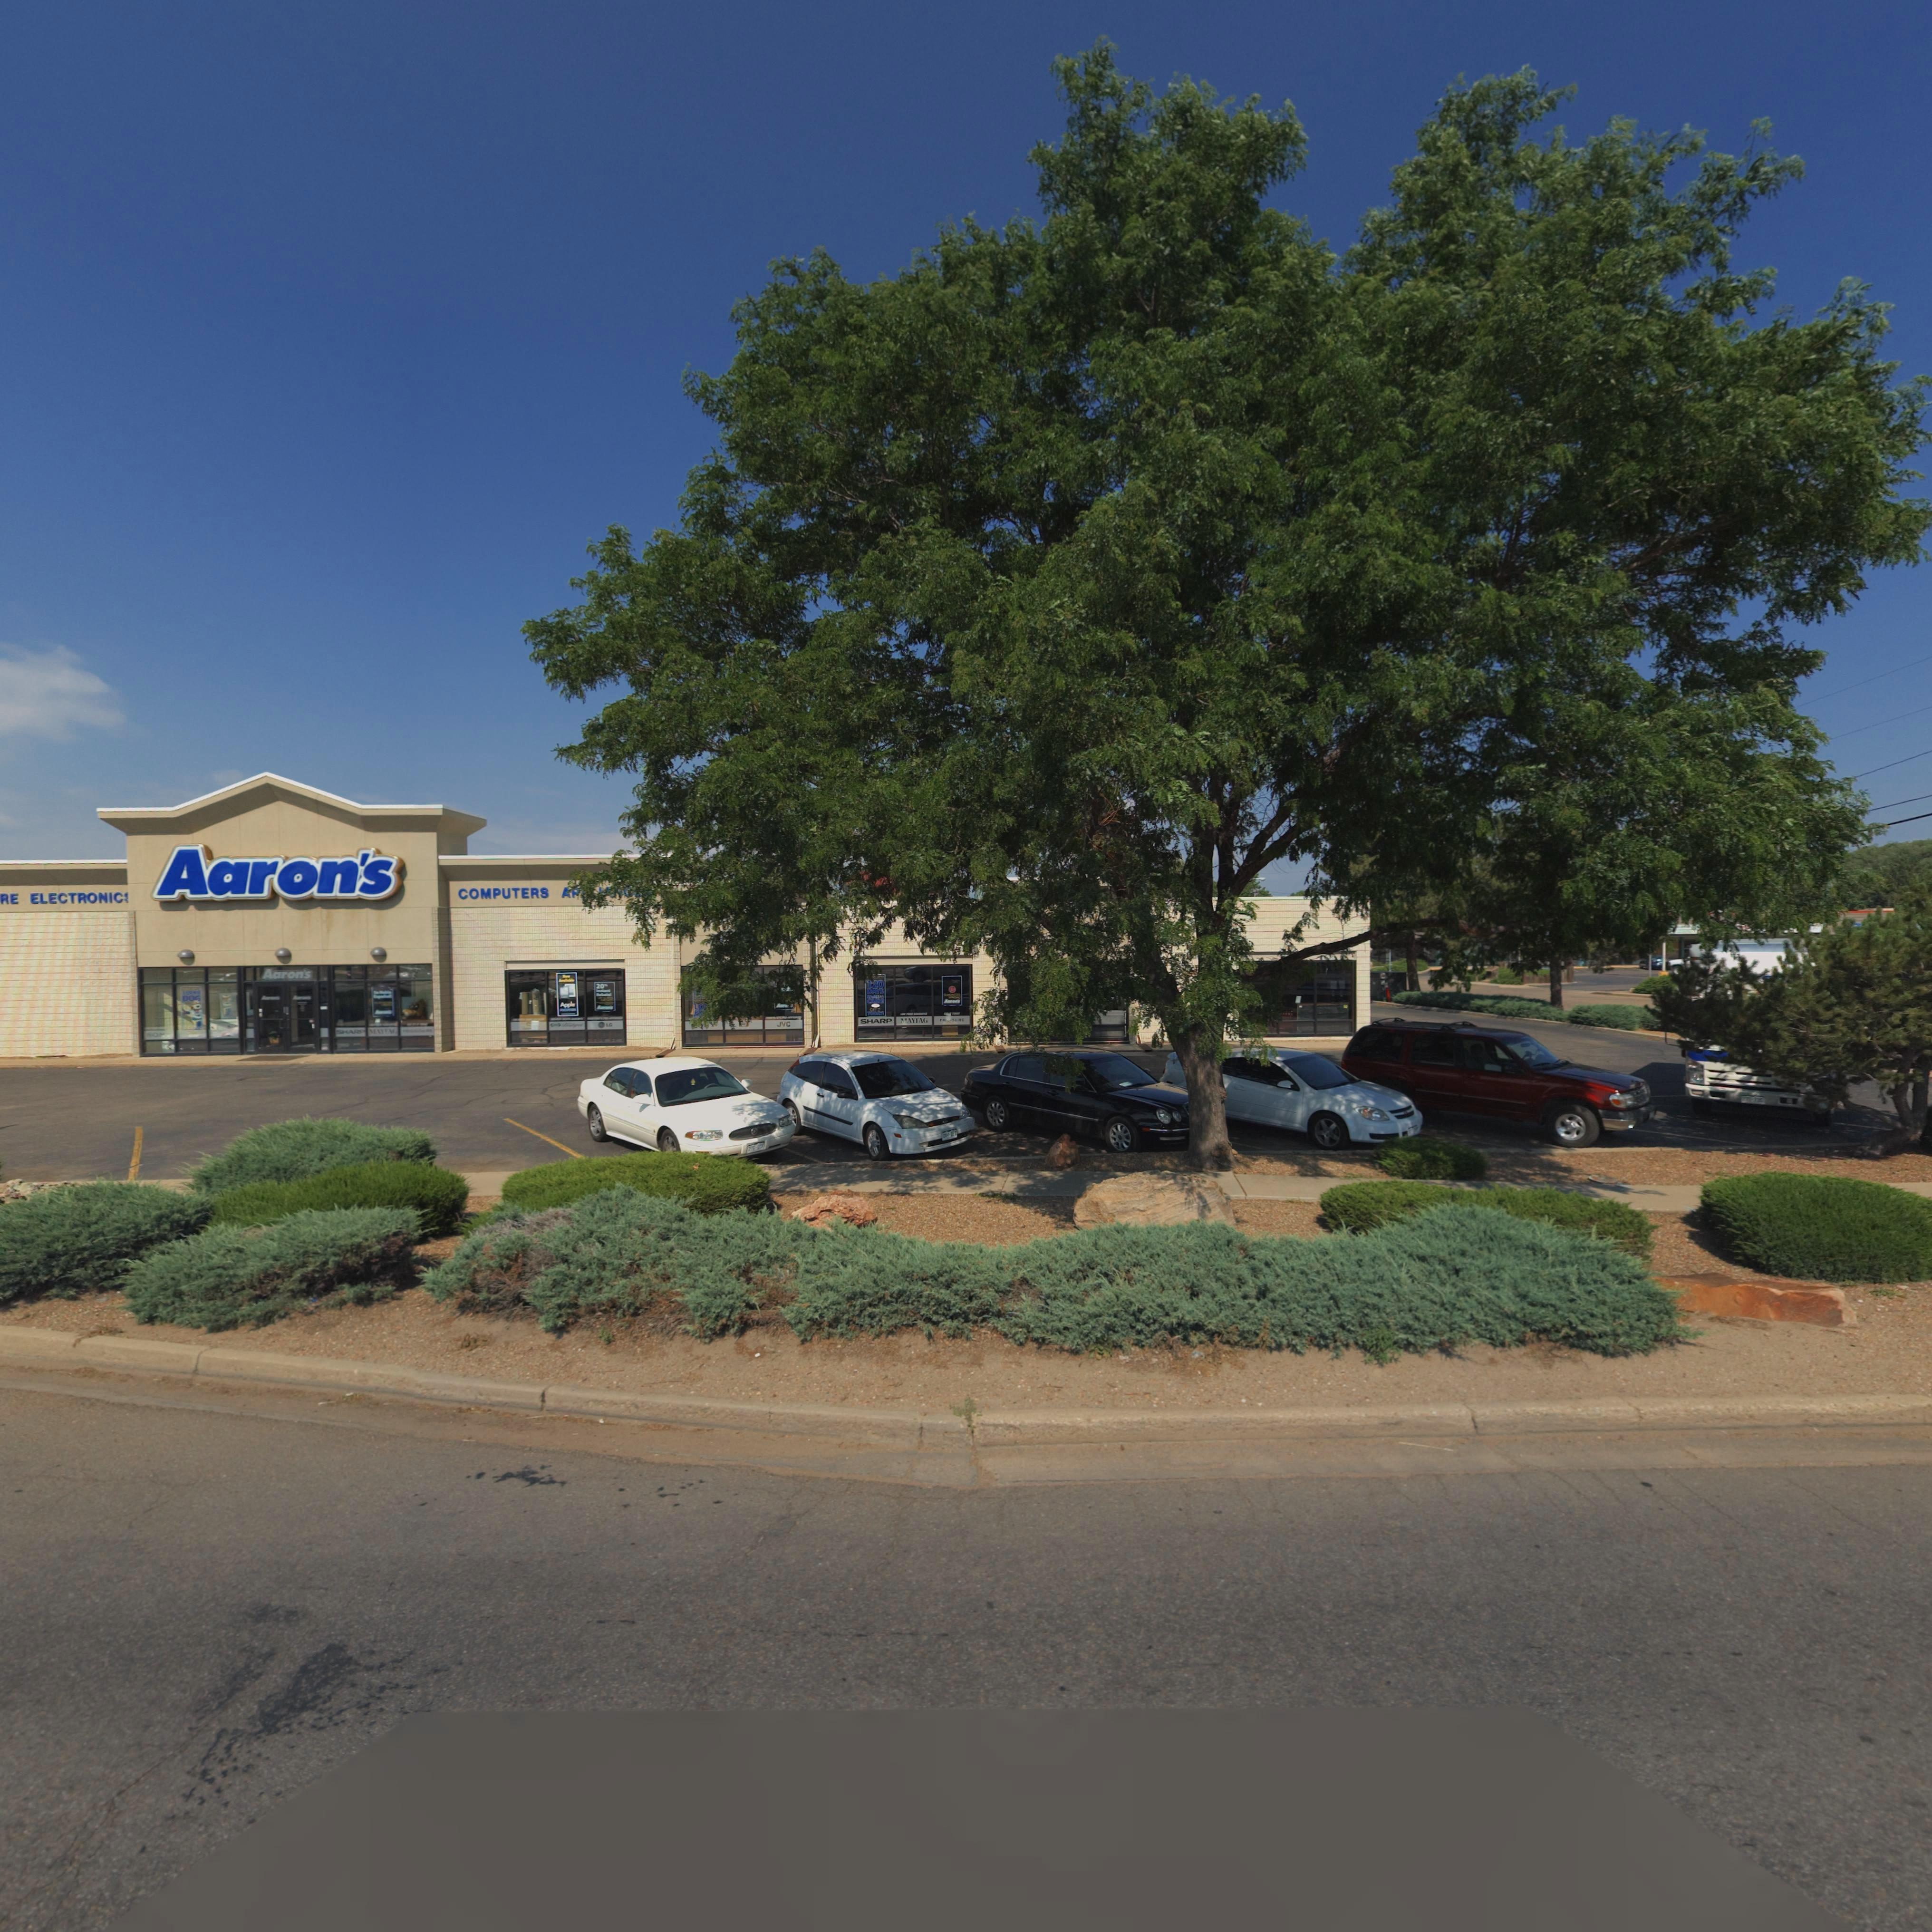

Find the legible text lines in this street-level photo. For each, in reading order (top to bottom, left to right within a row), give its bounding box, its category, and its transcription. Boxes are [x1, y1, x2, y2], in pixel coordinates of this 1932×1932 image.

[149, 842, 405, 902] BusinessName: Aaron's
[261, 968, 312, 979] BusinessName: Aaron's
[260, 995, 280, 1000] BusinessName: Aaron's
[292, 995, 311, 1000] BusinessName: Aaron's
[943, 998, 961, 1004] BusinessName: Aaron's
[596, 1005, 614, 1010] BusinessName: Aaron's
[775, 1003, 794, 1008] BusinessName: Aaro****
[374, 1009, 392, 1014] BusinessName: Aaron's